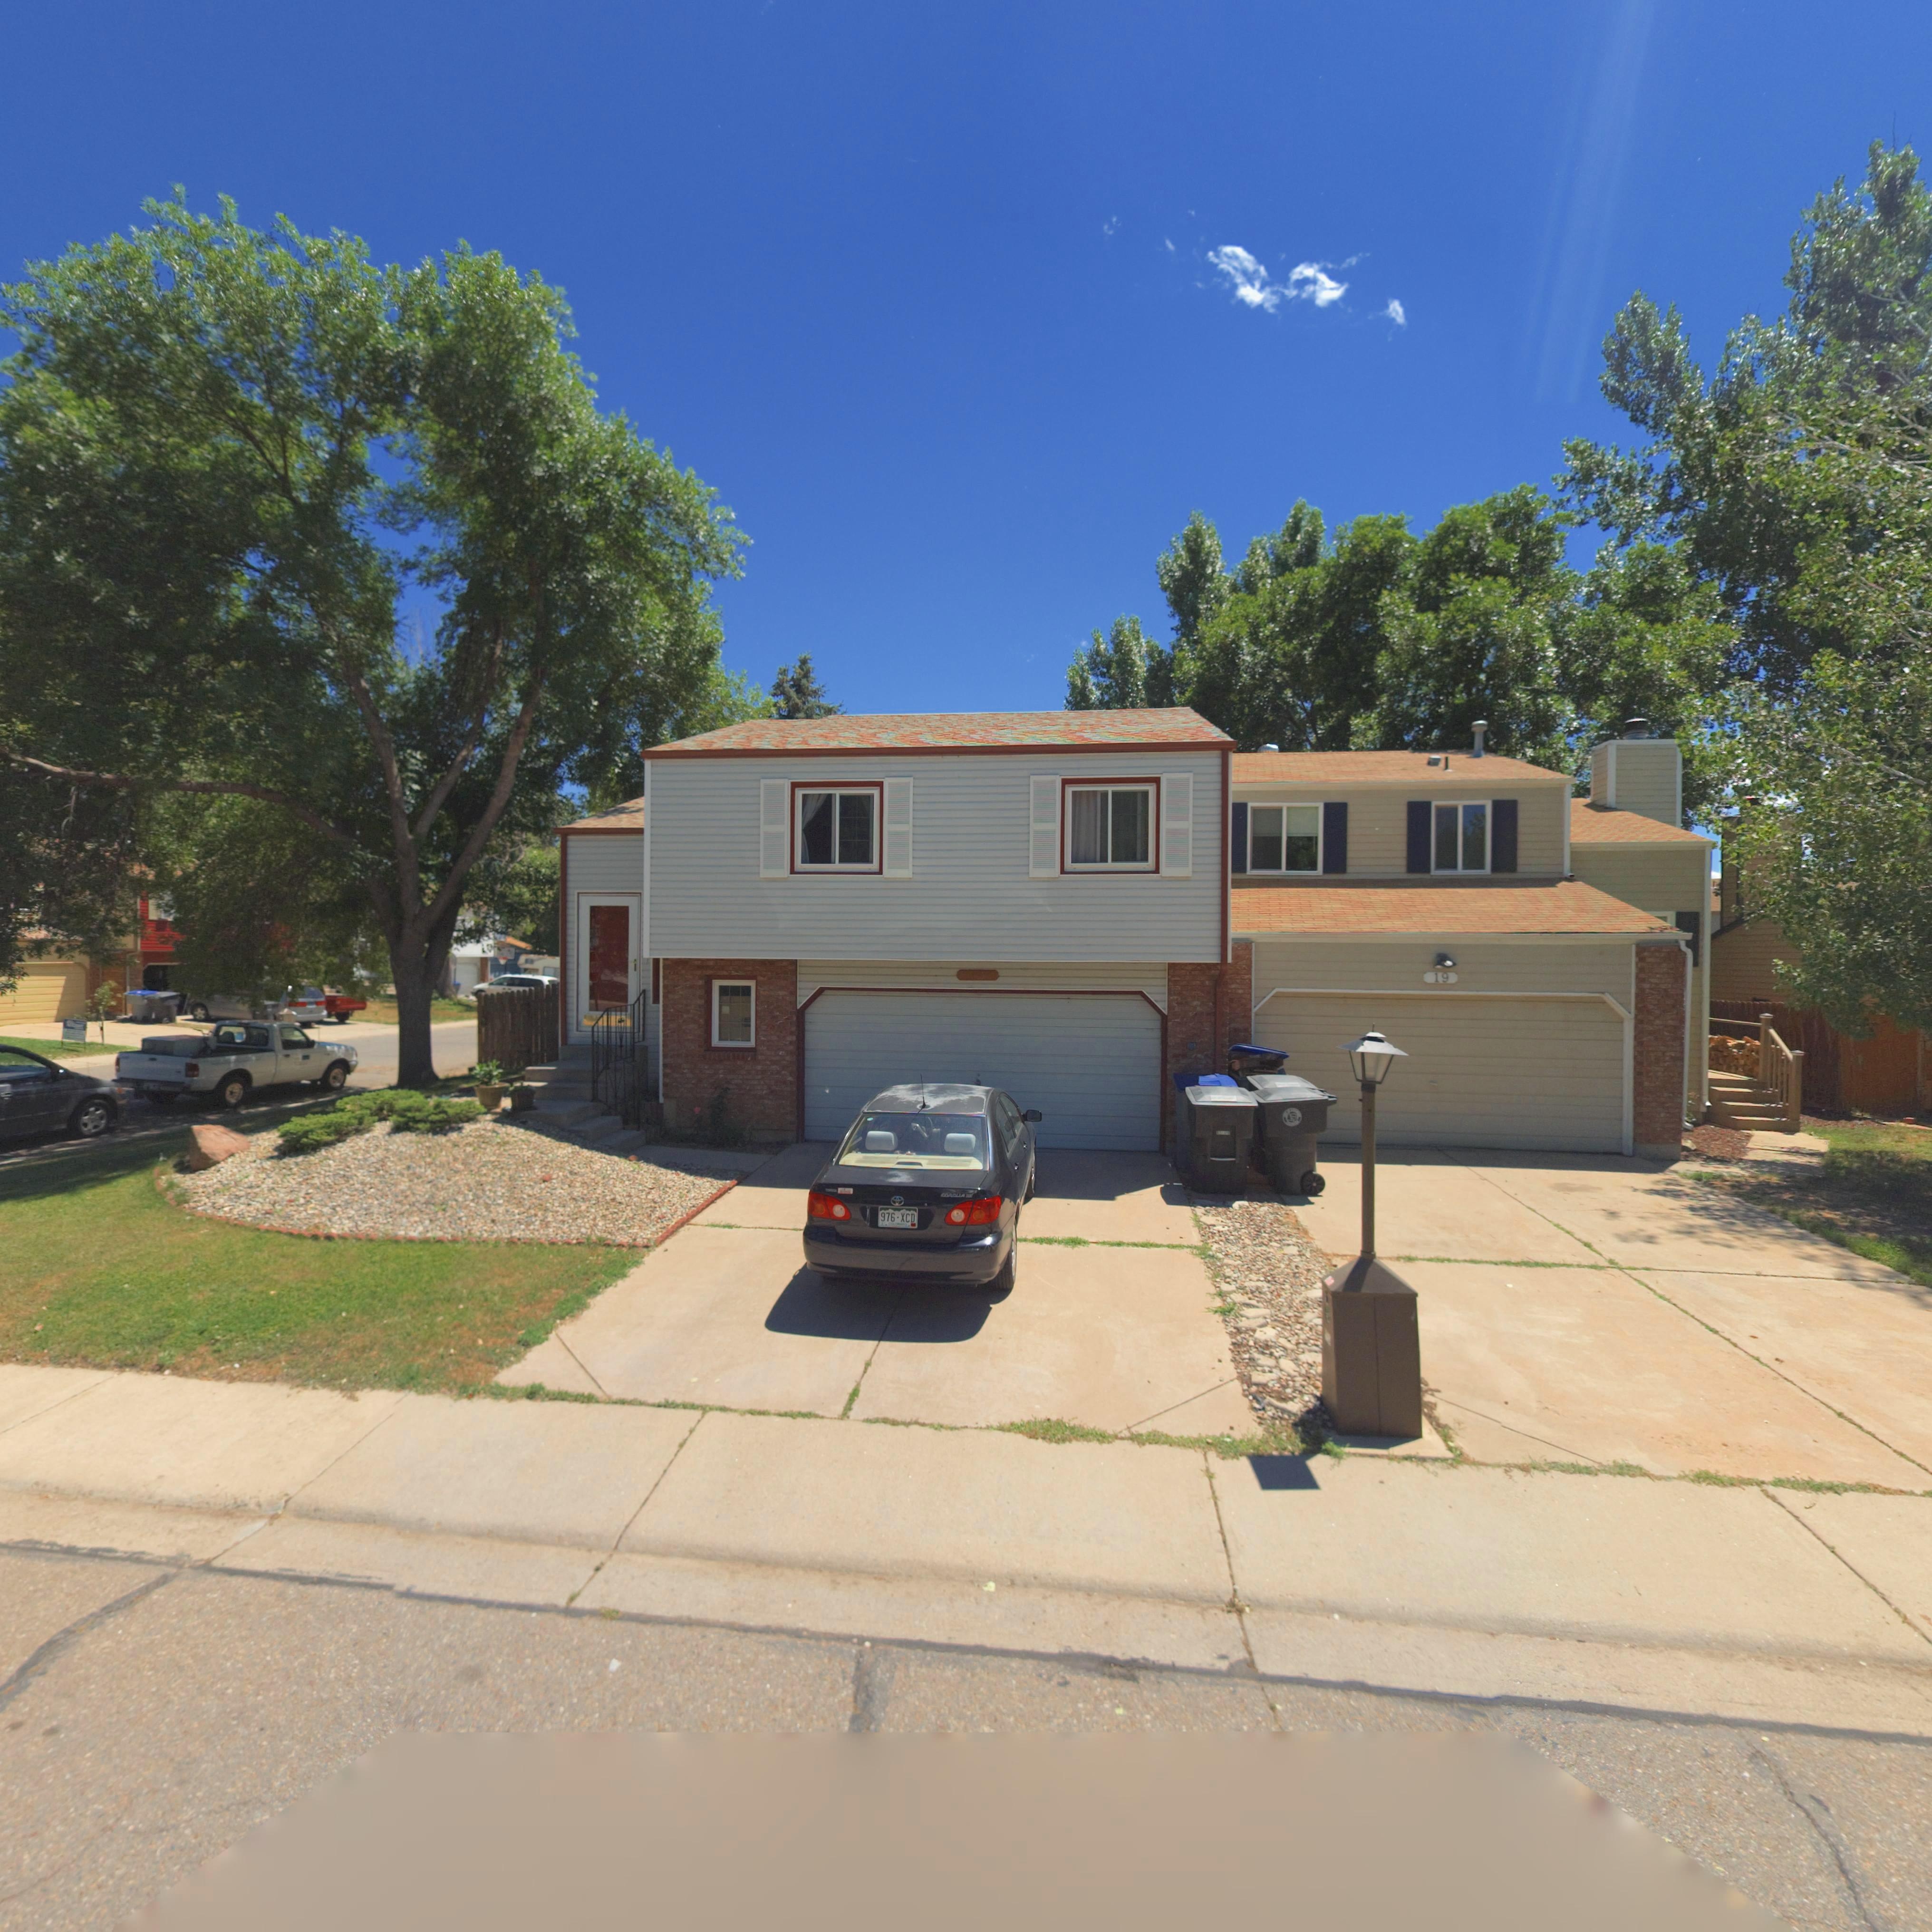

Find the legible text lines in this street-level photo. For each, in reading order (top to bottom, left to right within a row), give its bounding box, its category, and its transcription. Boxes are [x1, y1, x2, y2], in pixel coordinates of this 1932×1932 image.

[1434, 971, 1449, 983] StreetNumber: 19